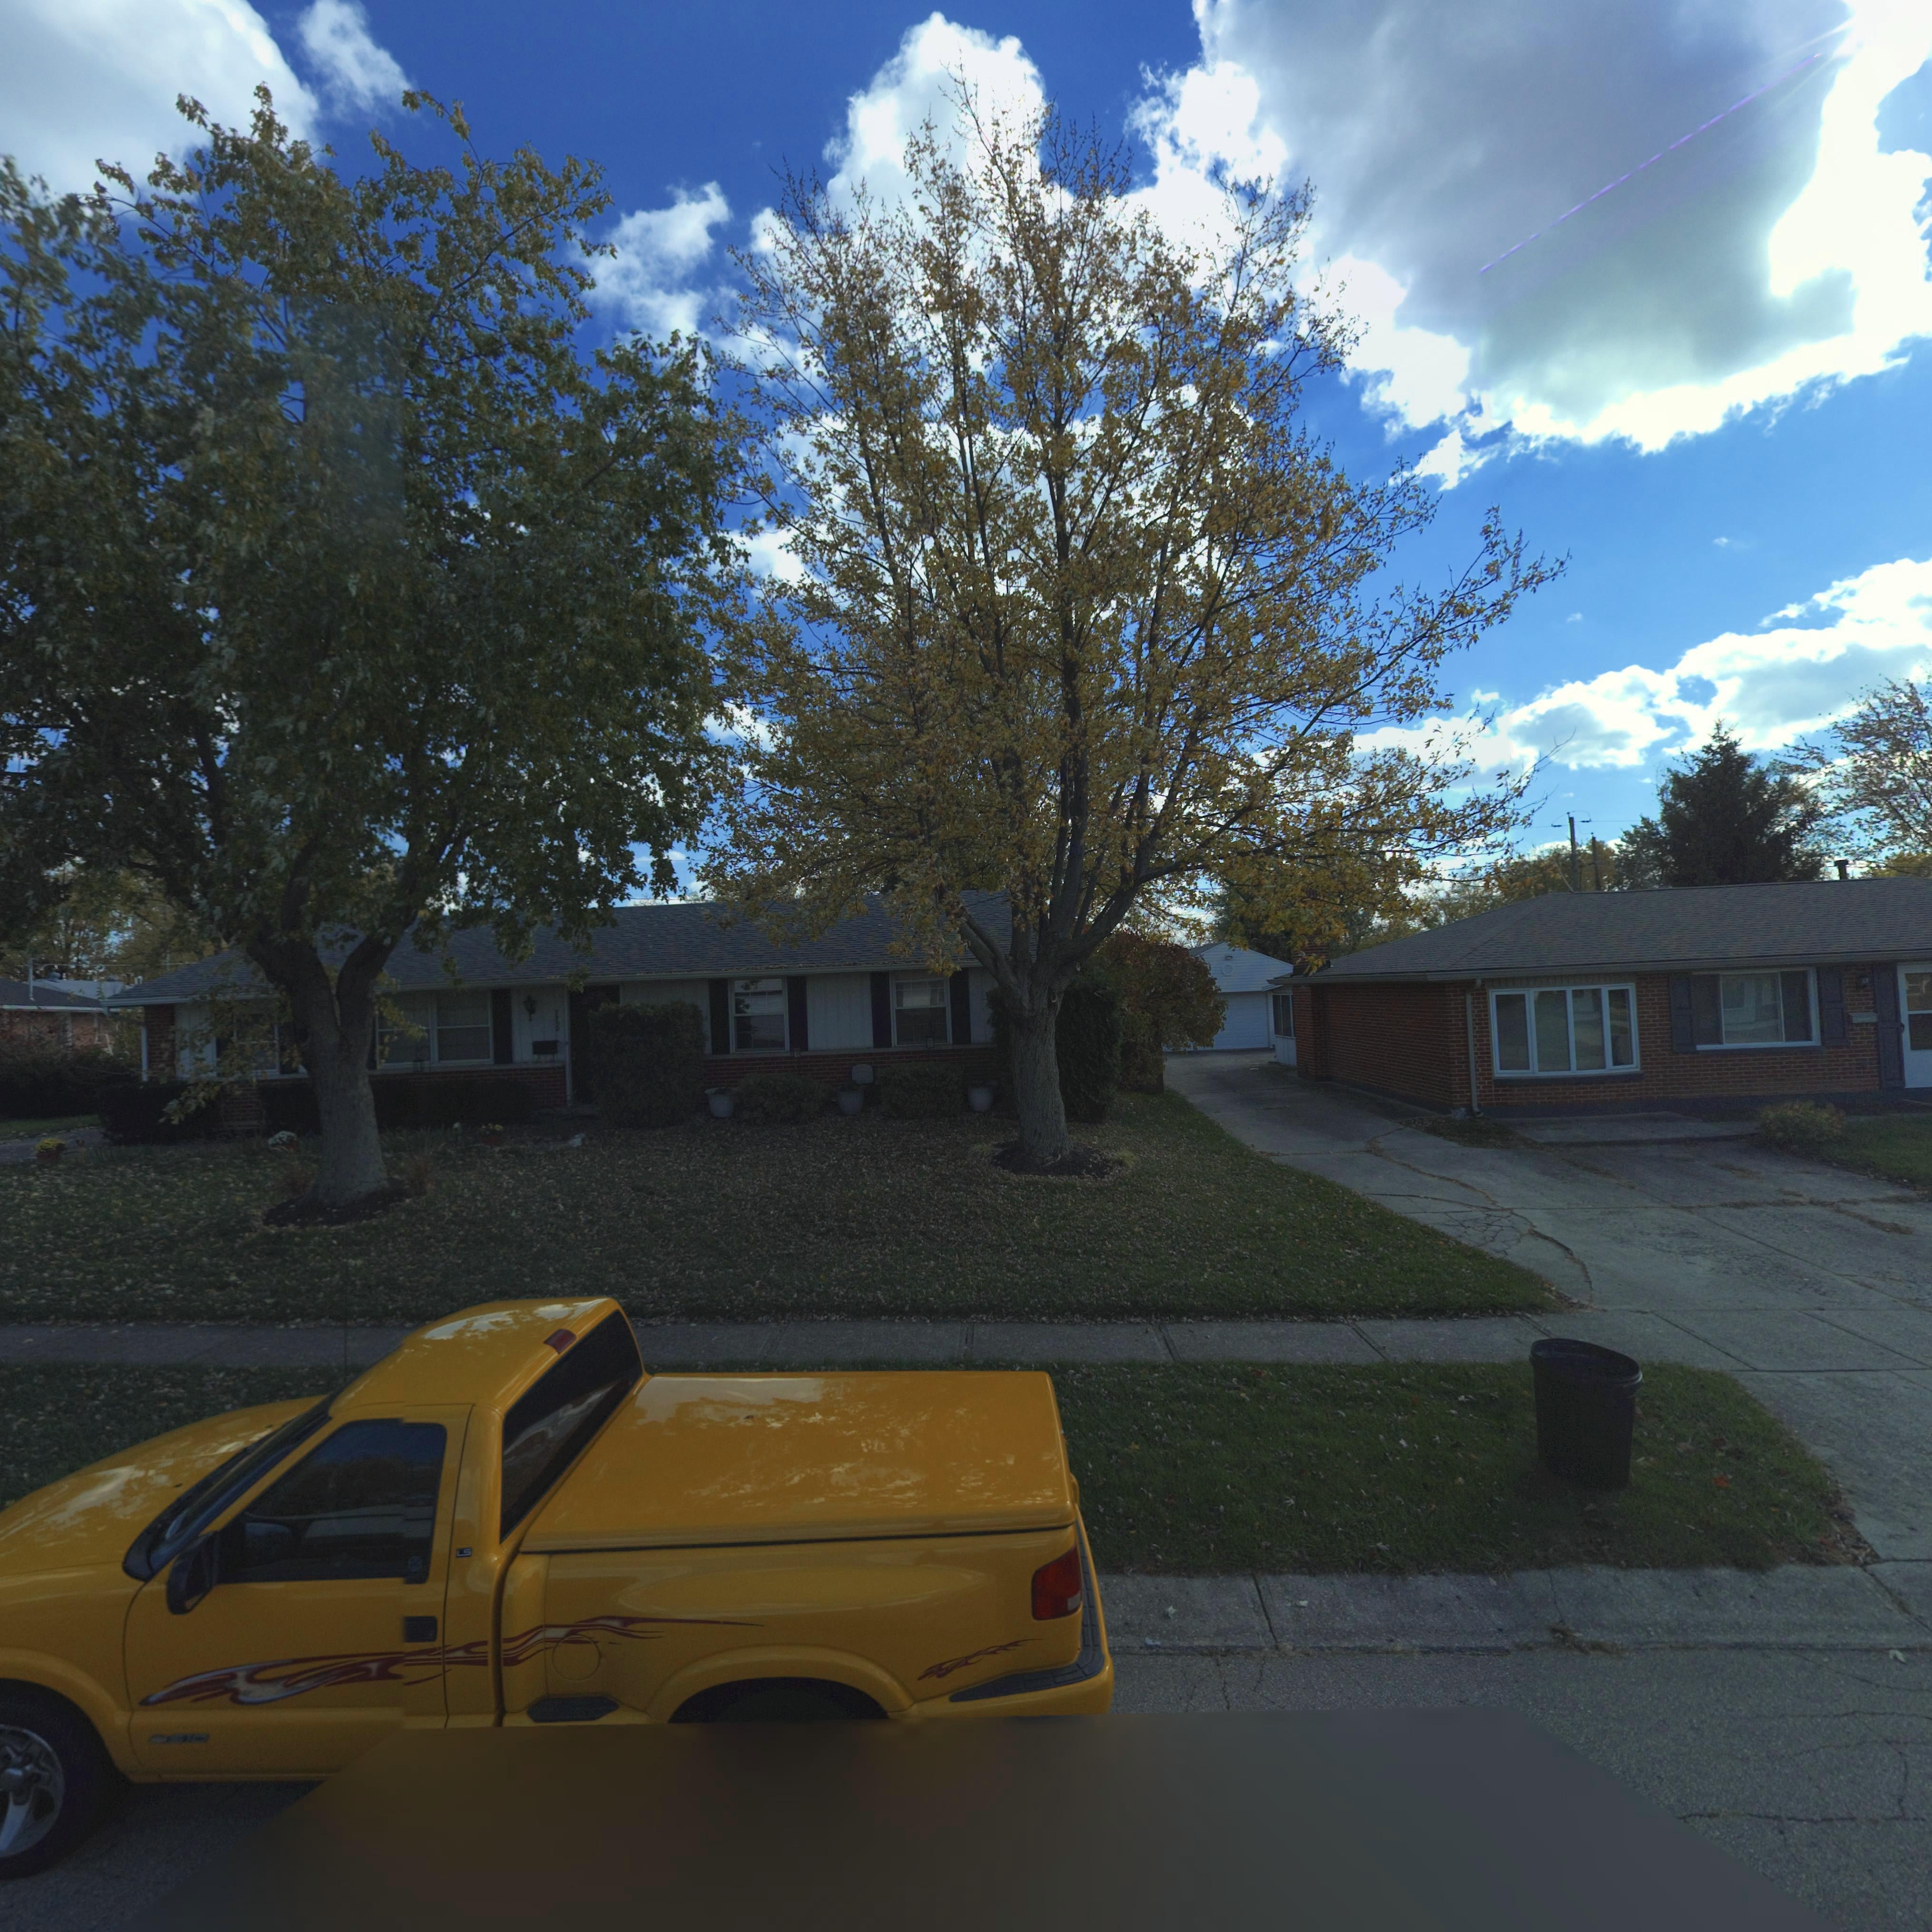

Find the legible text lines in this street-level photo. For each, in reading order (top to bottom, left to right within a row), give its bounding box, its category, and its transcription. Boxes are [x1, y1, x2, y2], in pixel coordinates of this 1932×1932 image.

[554, 1007, 560, 1032] StreetNumber: 7750